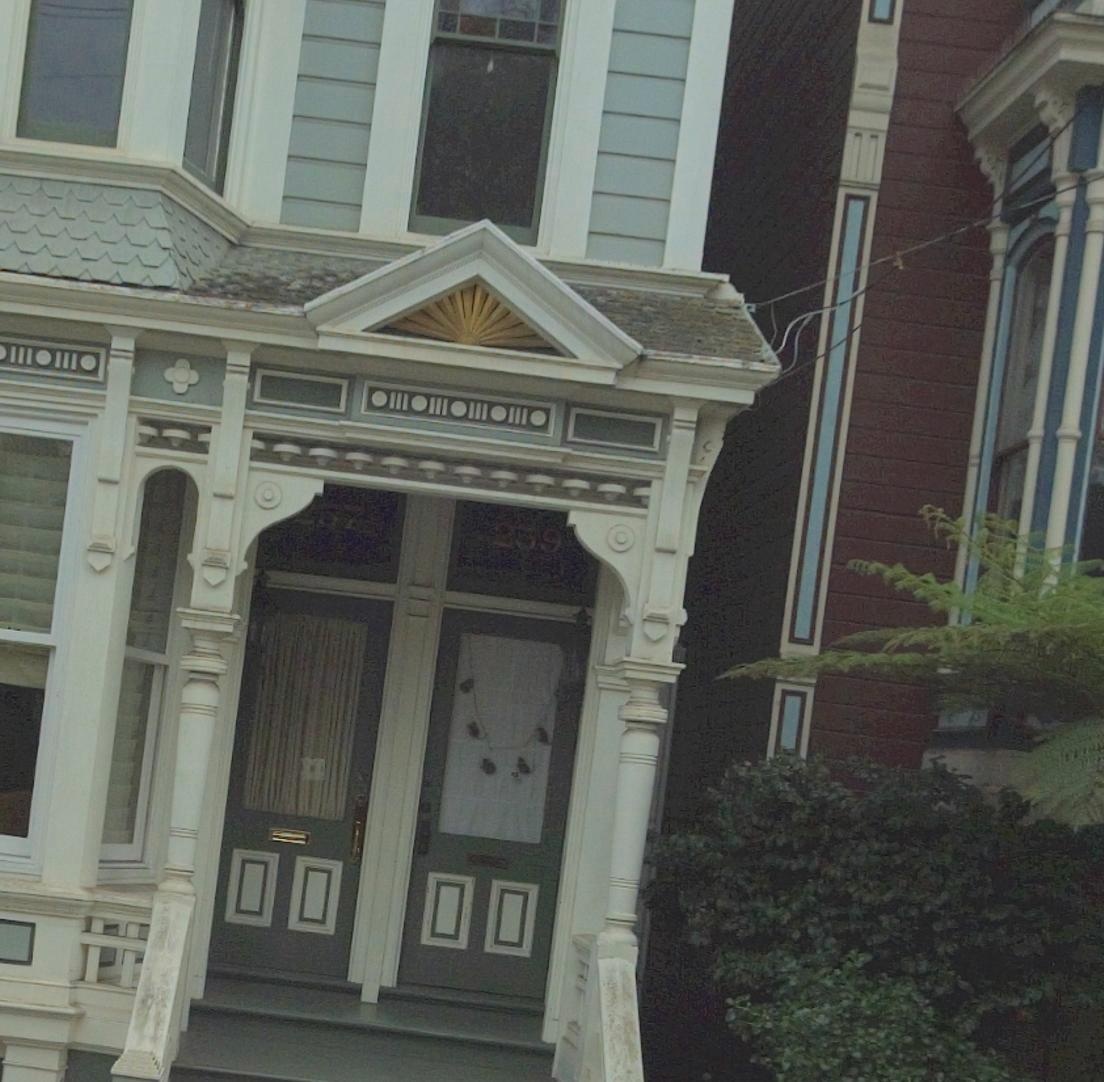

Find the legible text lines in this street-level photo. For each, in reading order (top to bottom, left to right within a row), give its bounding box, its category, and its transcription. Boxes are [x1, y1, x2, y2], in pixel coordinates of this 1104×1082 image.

[316, 501, 366, 532] StreetNumber: 57
[487, 520, 563, 556] StreetNumber: 259